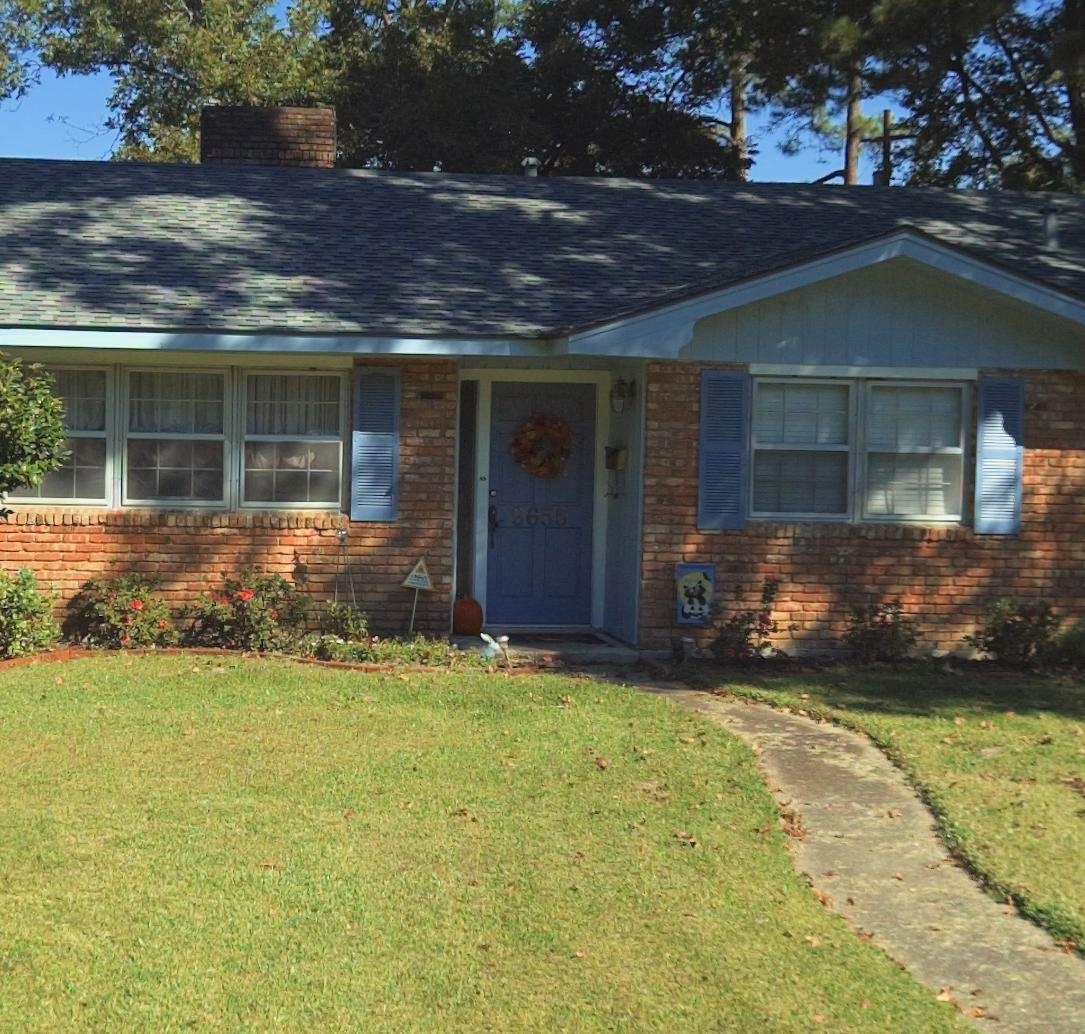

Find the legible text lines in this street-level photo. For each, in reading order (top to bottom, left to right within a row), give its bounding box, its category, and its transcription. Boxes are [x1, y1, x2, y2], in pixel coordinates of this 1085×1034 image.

[510, 505, 569, 529] StreetNumber: 9655